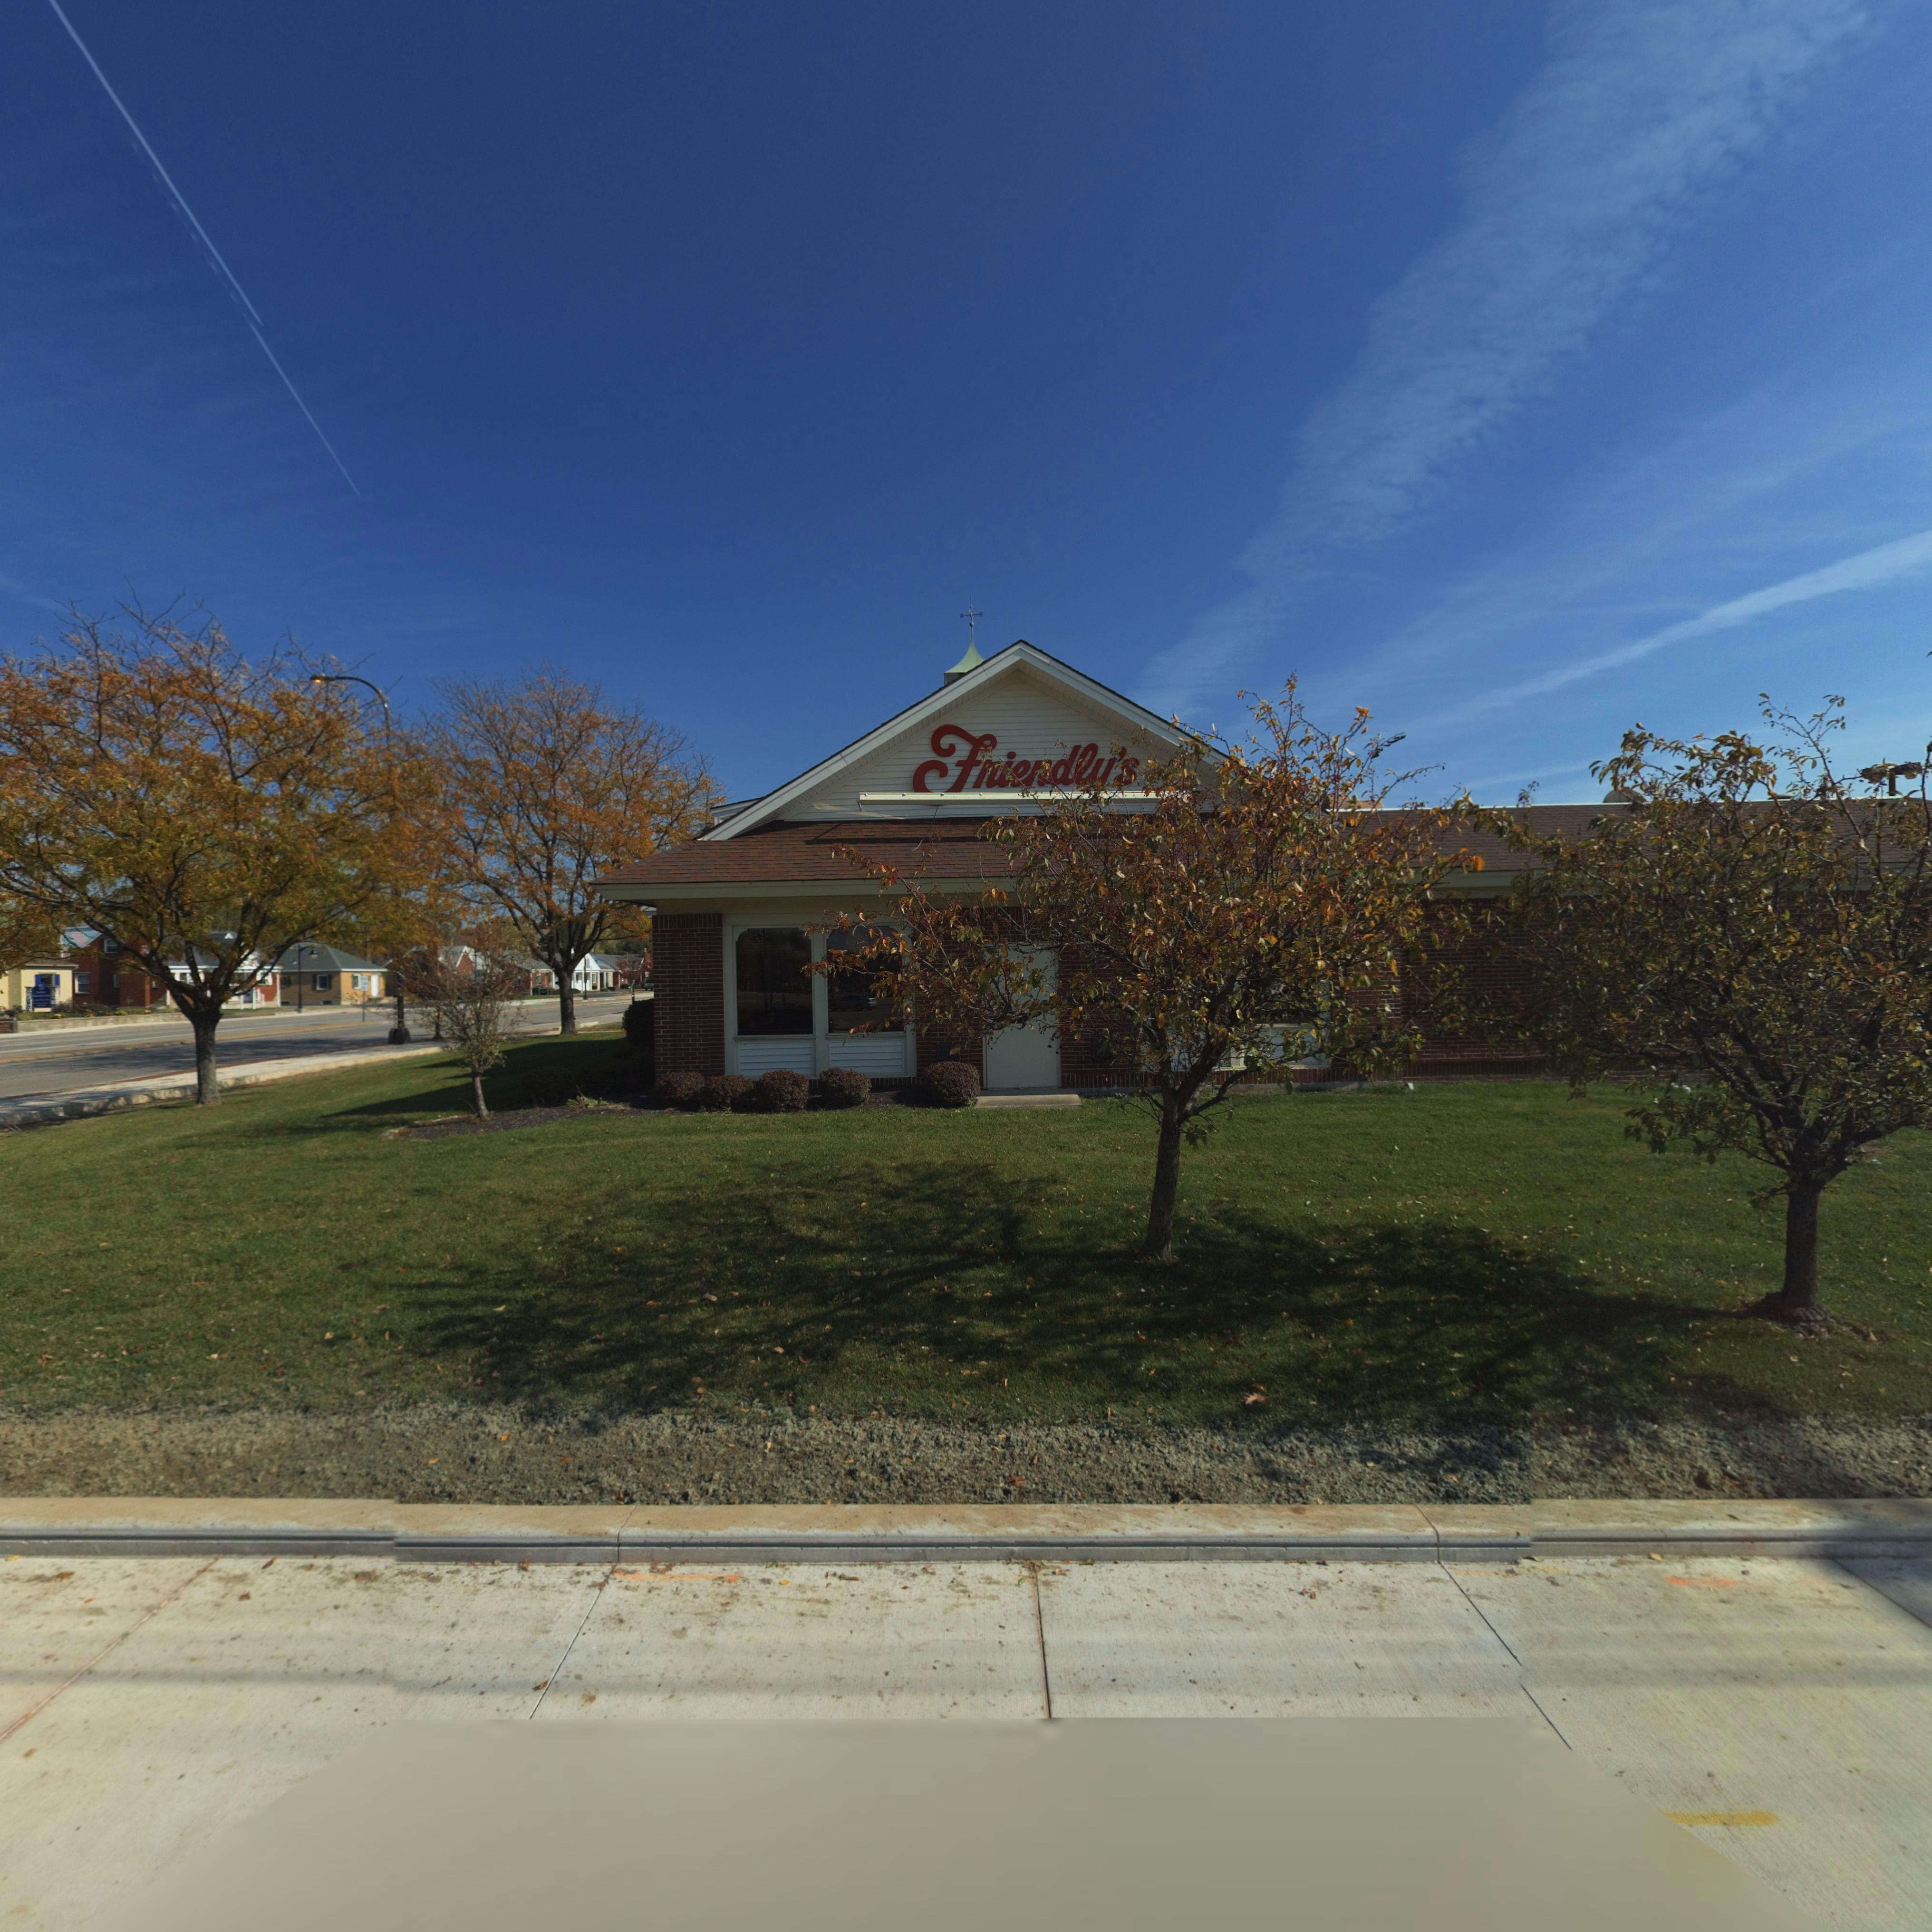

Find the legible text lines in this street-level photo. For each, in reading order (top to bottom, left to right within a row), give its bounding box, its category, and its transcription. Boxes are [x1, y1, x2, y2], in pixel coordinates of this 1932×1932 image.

[932, 724, 1141, 793] BusinessName: Frie*dl*'*